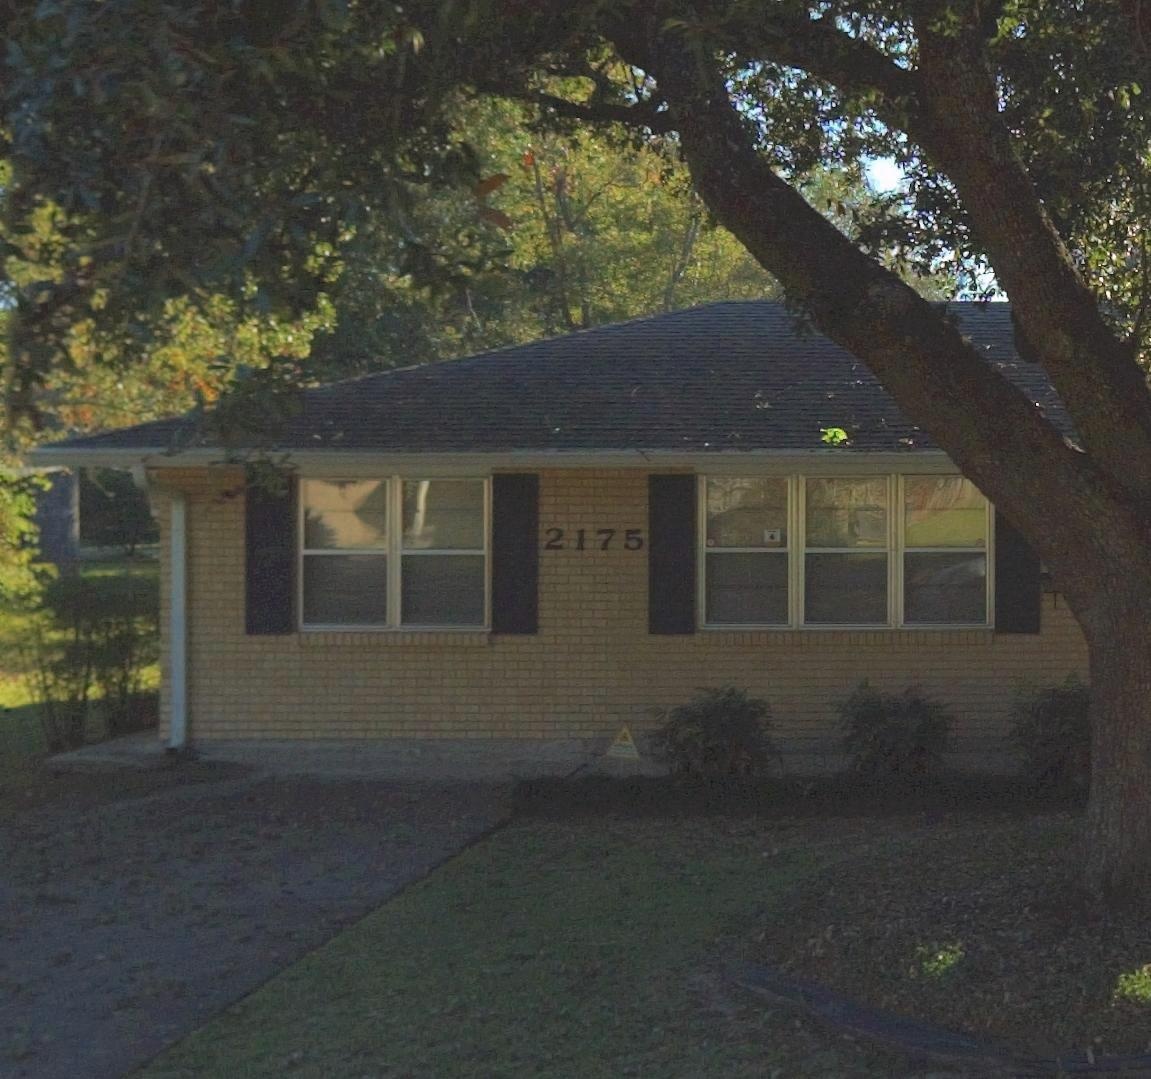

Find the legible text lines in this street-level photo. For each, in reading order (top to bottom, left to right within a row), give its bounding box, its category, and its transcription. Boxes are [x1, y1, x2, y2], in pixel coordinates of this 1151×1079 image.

[543, 526, 645, 552] StreetNumber: 2175